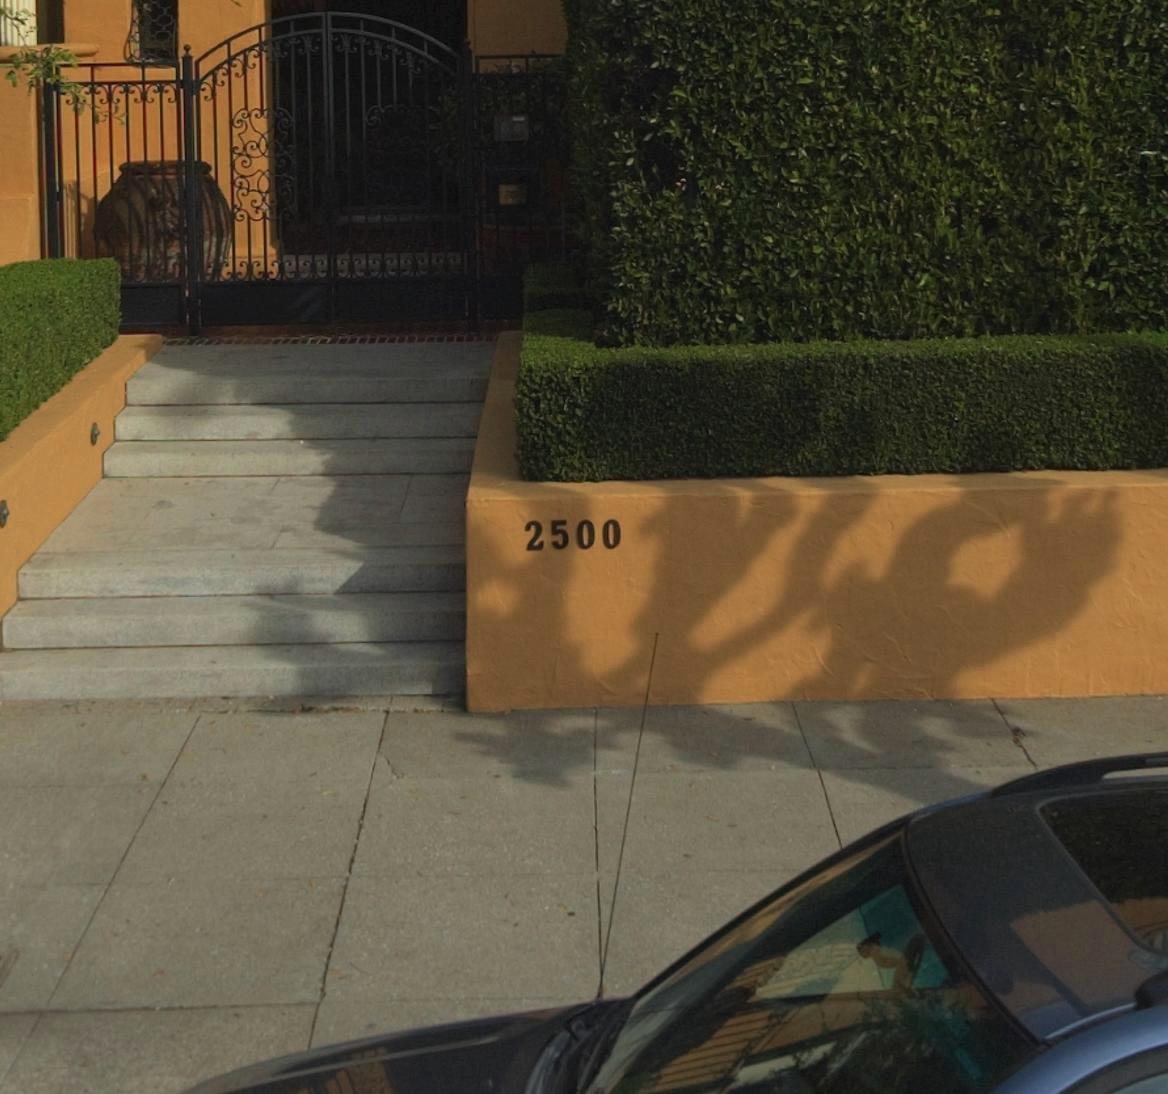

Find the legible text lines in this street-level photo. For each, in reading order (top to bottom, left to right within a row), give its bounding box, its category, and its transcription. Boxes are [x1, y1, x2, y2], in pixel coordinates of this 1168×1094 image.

[522, 517, 623, 554] StreetNumber: 2500